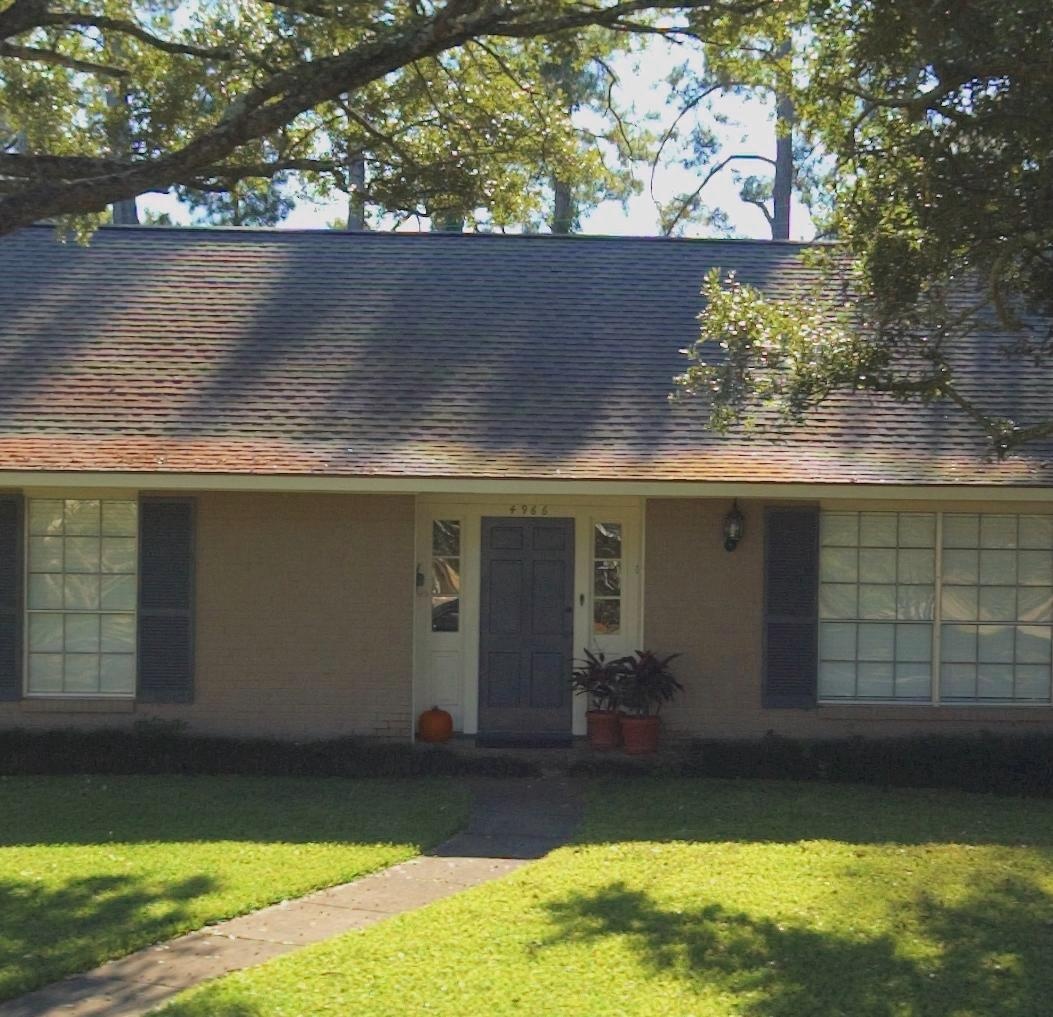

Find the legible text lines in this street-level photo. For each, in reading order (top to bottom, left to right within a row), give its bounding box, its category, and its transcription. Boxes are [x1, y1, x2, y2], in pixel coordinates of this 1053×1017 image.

[507, 503, 550, 517] StreetNumber: 4966